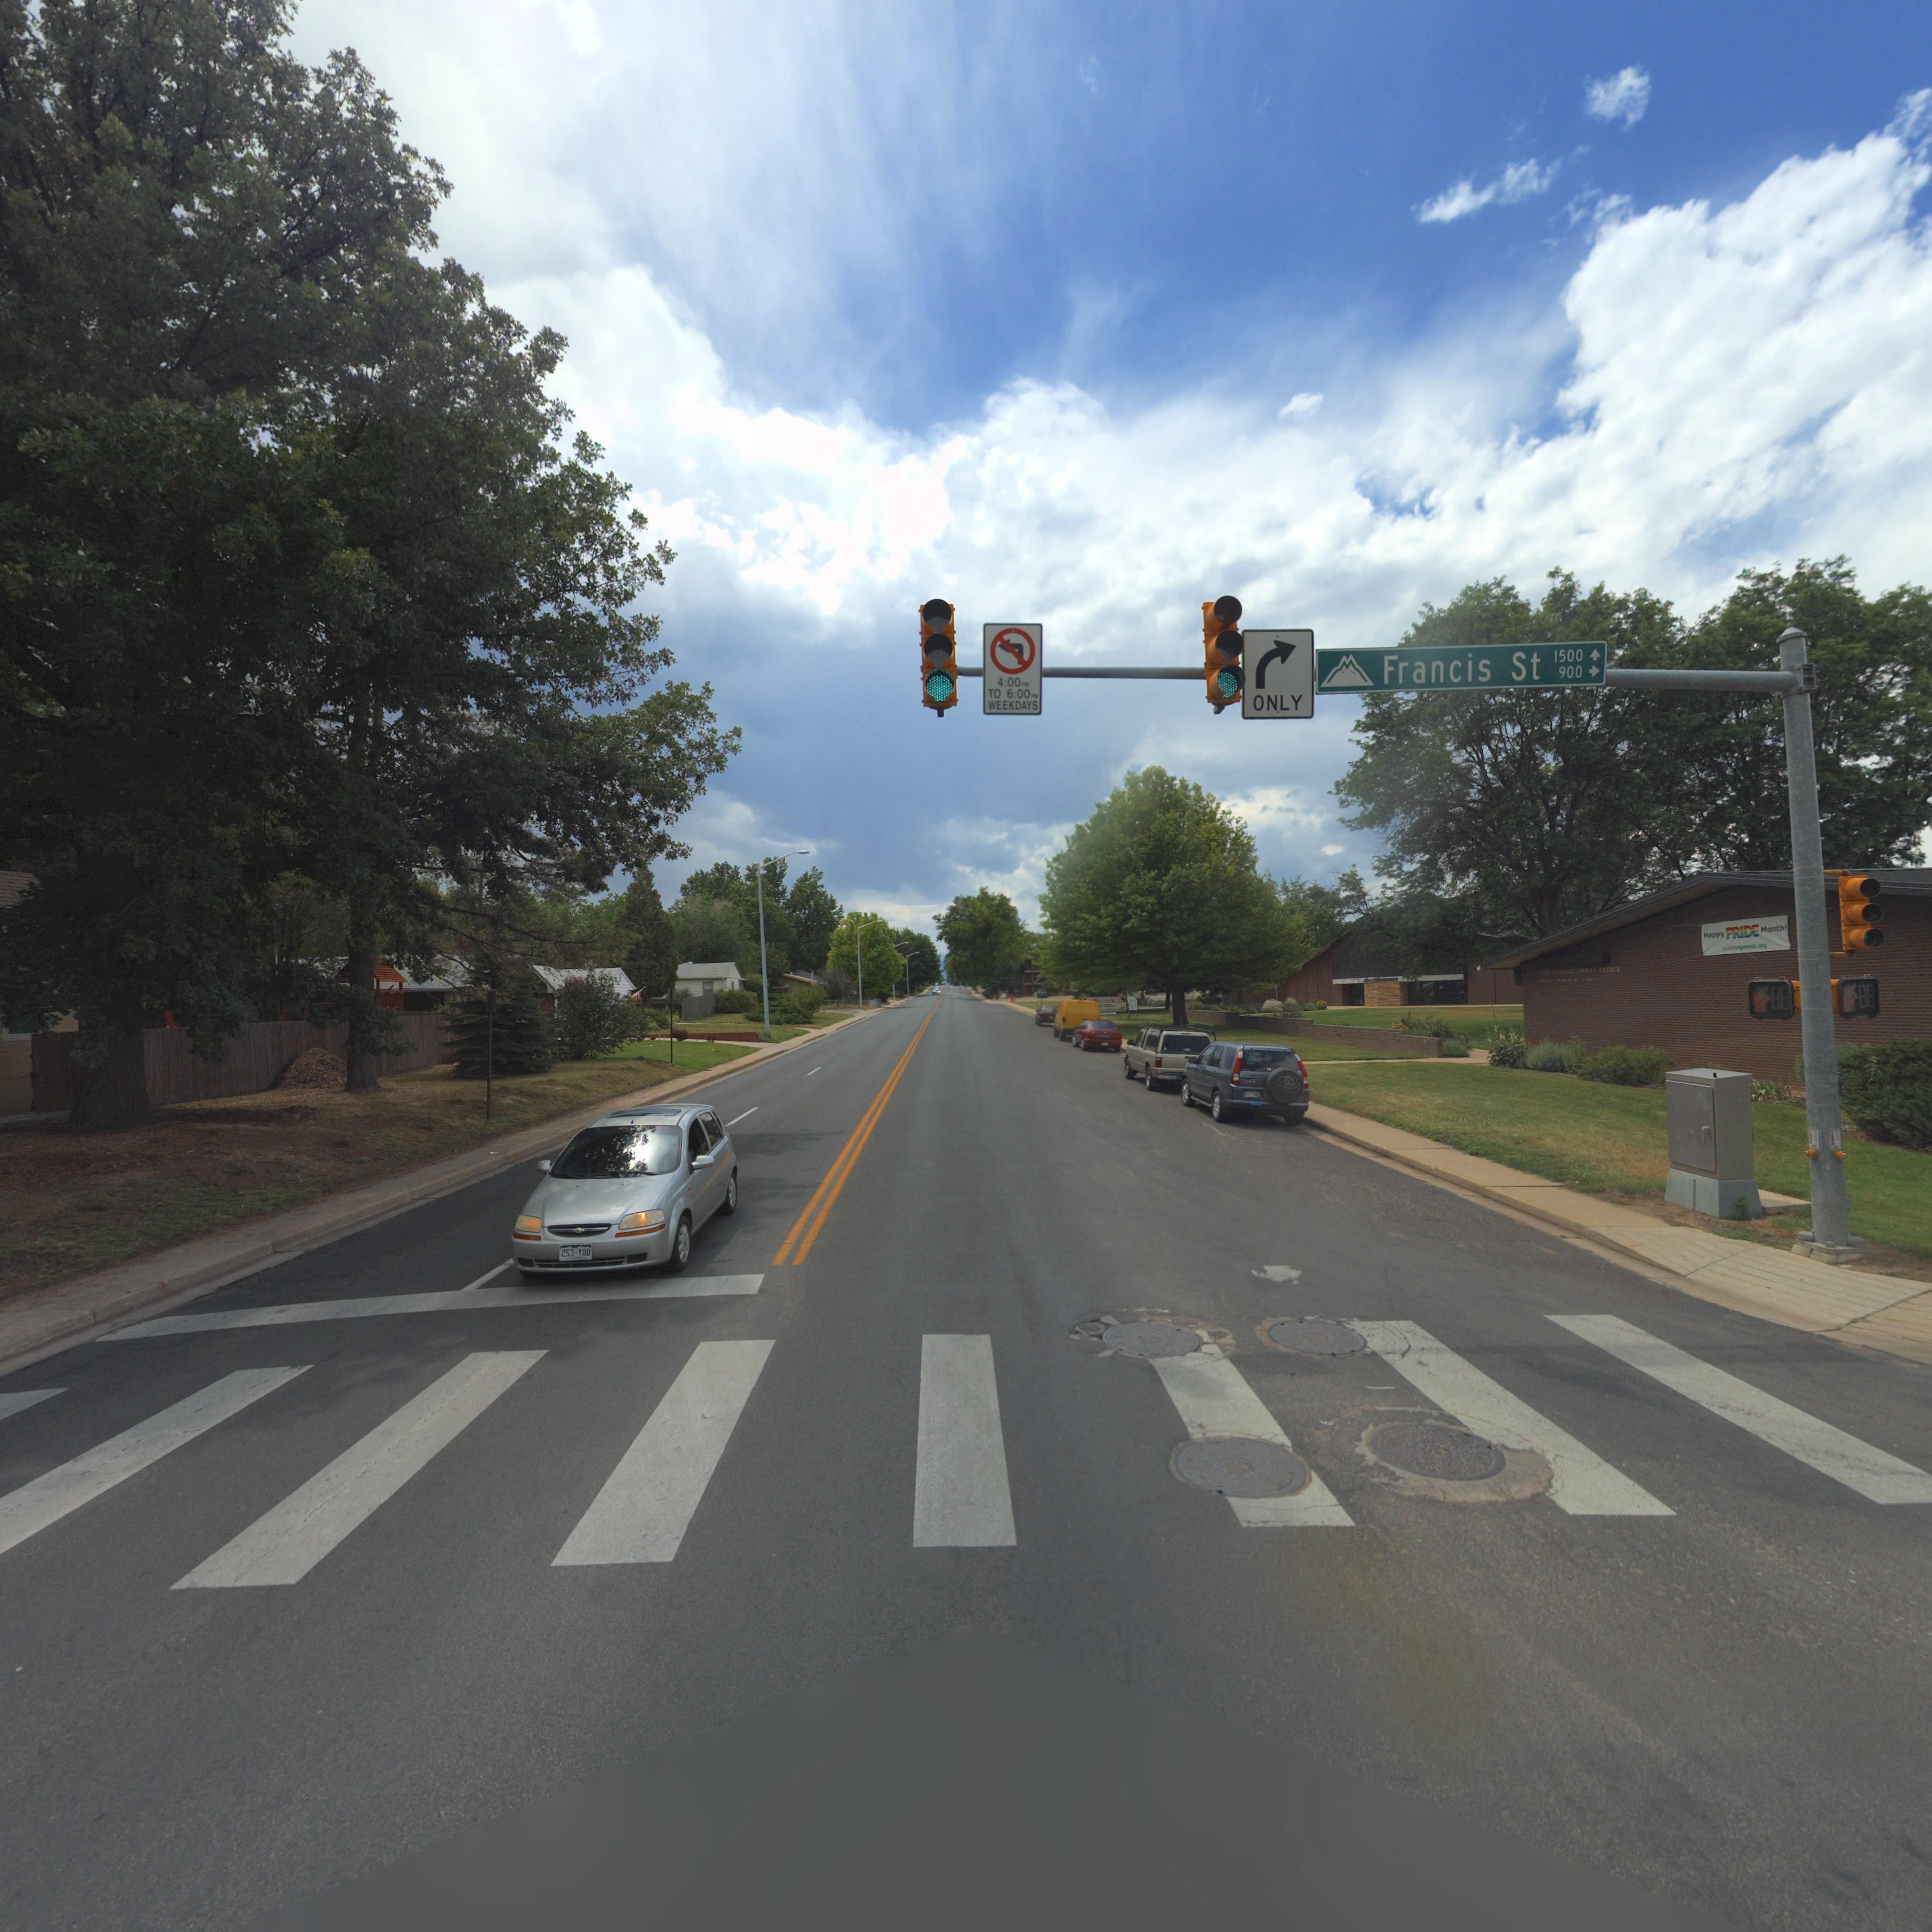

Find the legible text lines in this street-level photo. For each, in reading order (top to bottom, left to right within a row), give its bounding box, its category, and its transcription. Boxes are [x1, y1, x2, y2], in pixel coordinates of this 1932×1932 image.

[1554, 648, 1583, 663] StreetNumberRange: 1500
[1383, 650, 1540, 685] StreetName: Francis St
[1559, 665, 1599, 678] StreetNumberRange: 900 ->
[1538, 966, 1620, 976] BusinessName: ***** *******ATIO*AL CHURCH